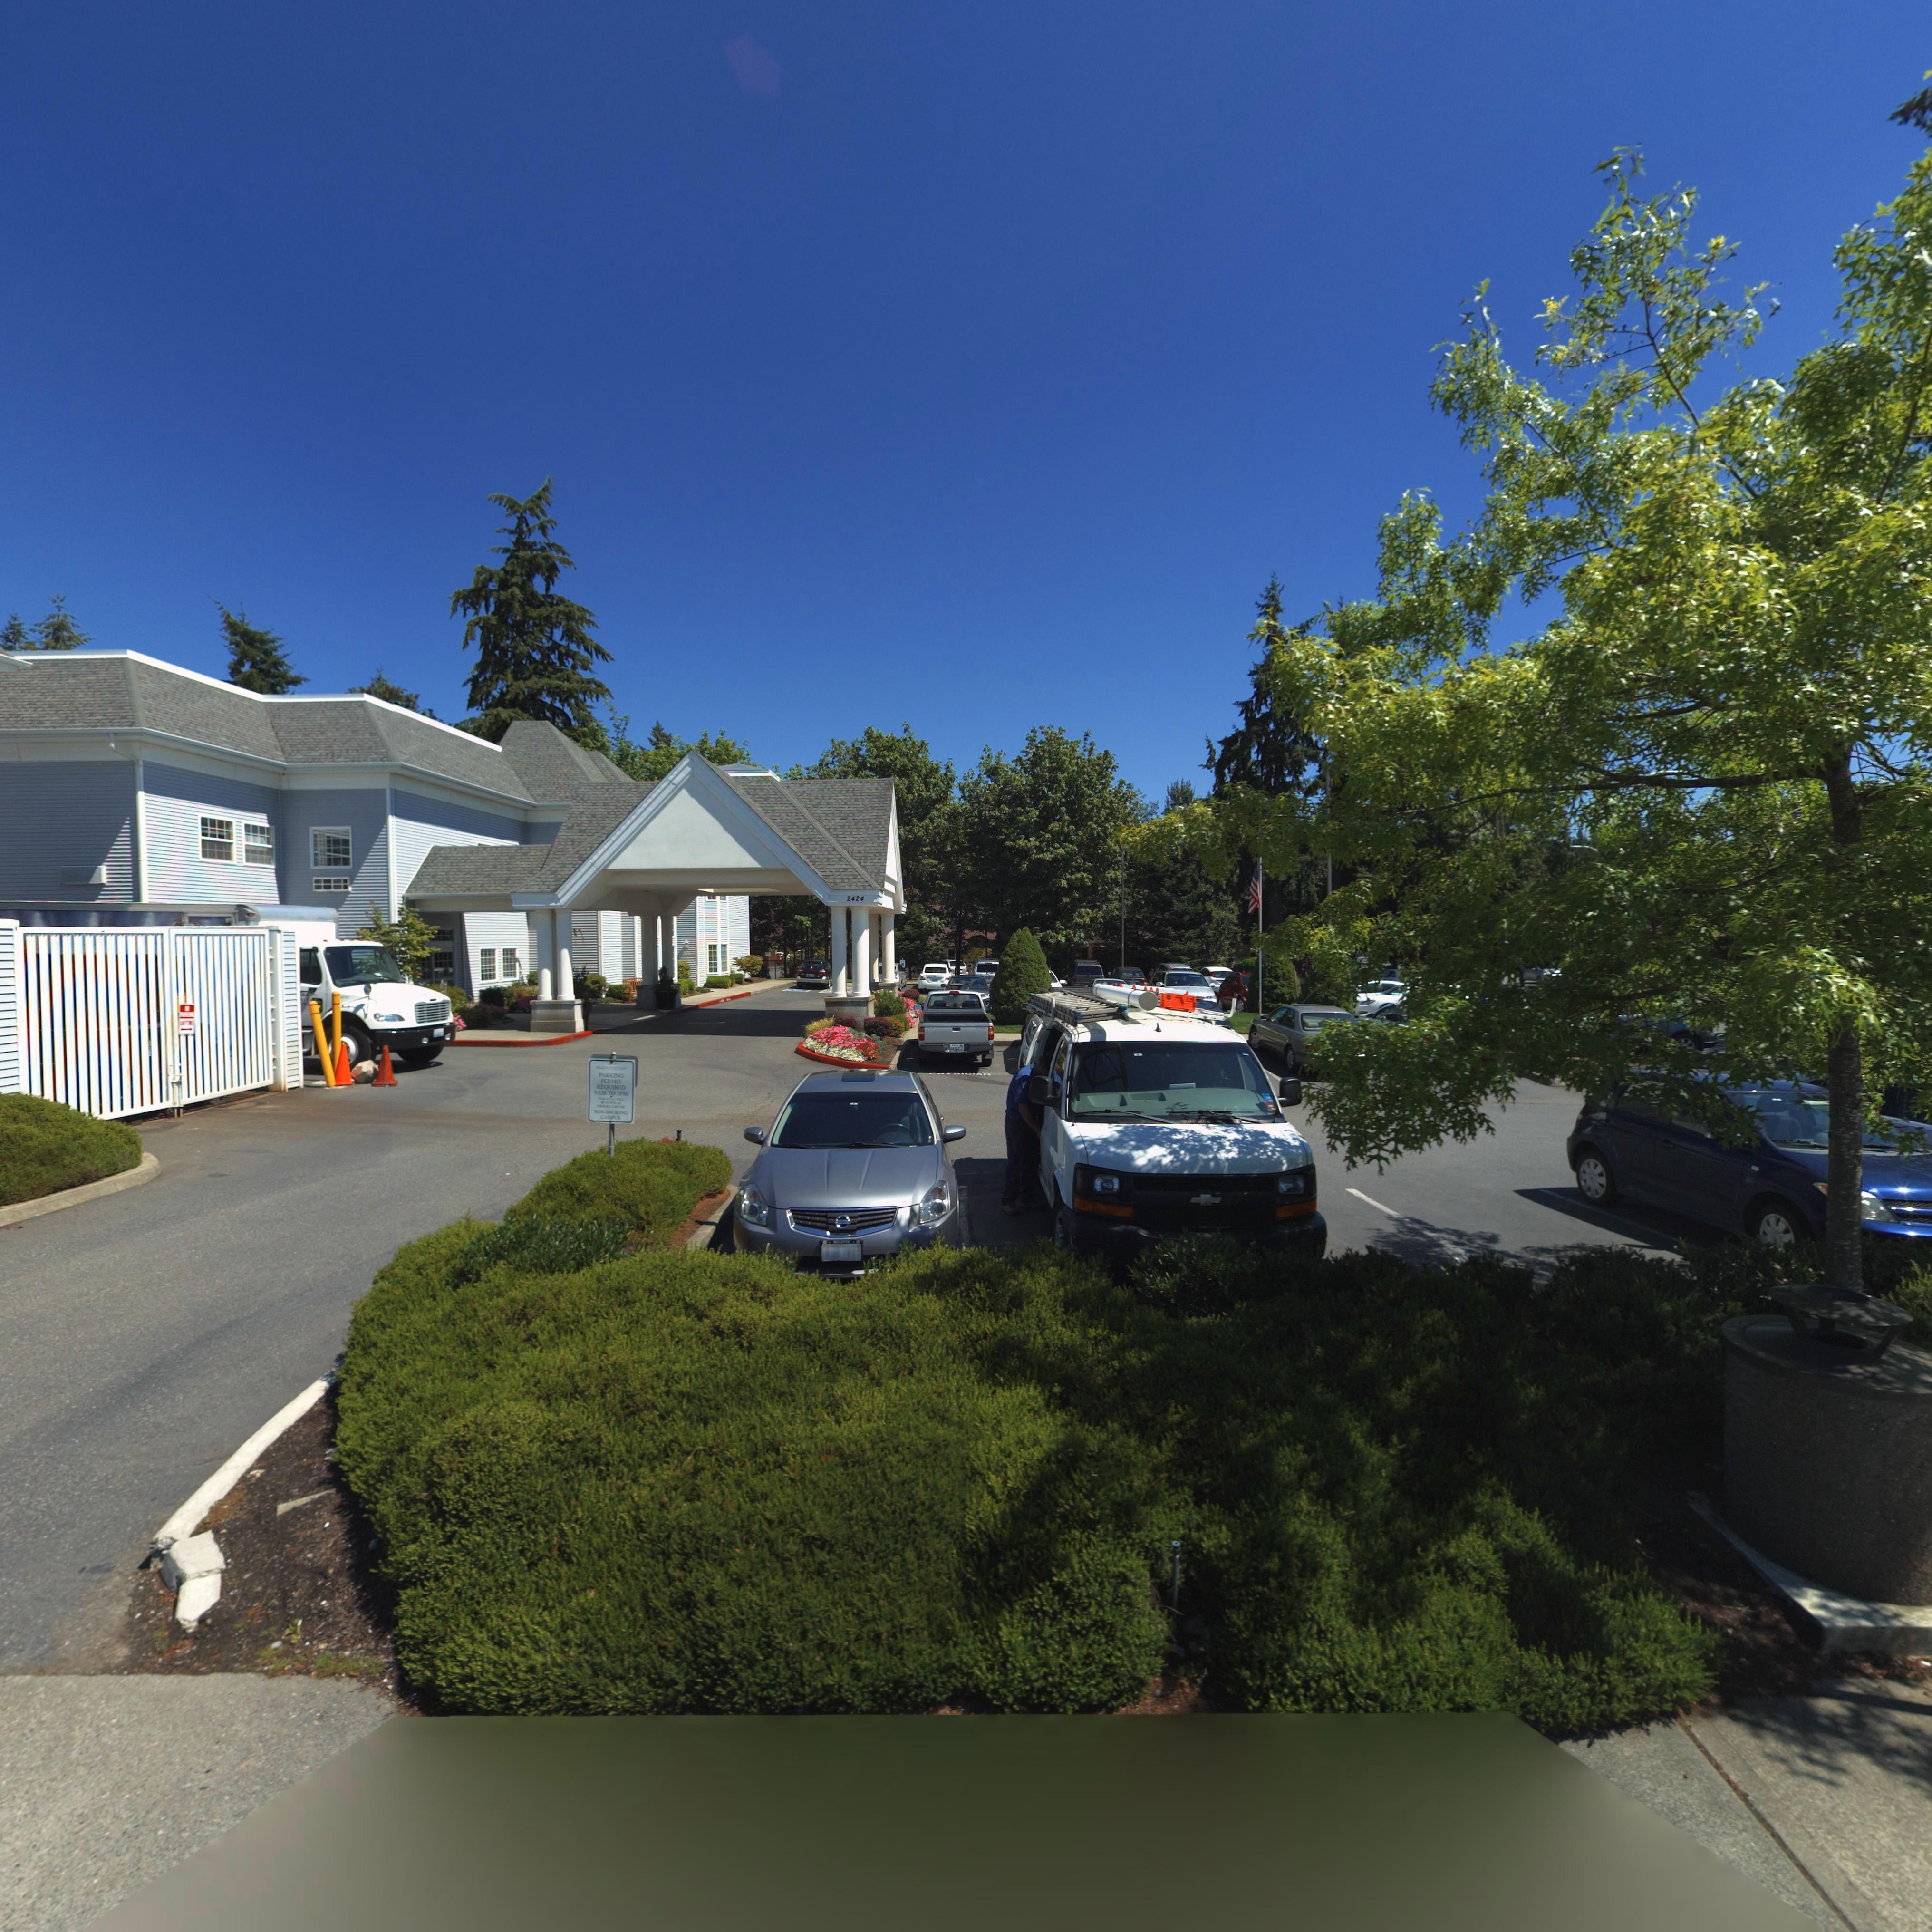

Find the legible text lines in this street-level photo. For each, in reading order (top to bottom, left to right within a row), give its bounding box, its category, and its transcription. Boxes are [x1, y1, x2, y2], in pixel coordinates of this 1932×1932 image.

[846, 895, 865, 902] StreetNumber: 2424